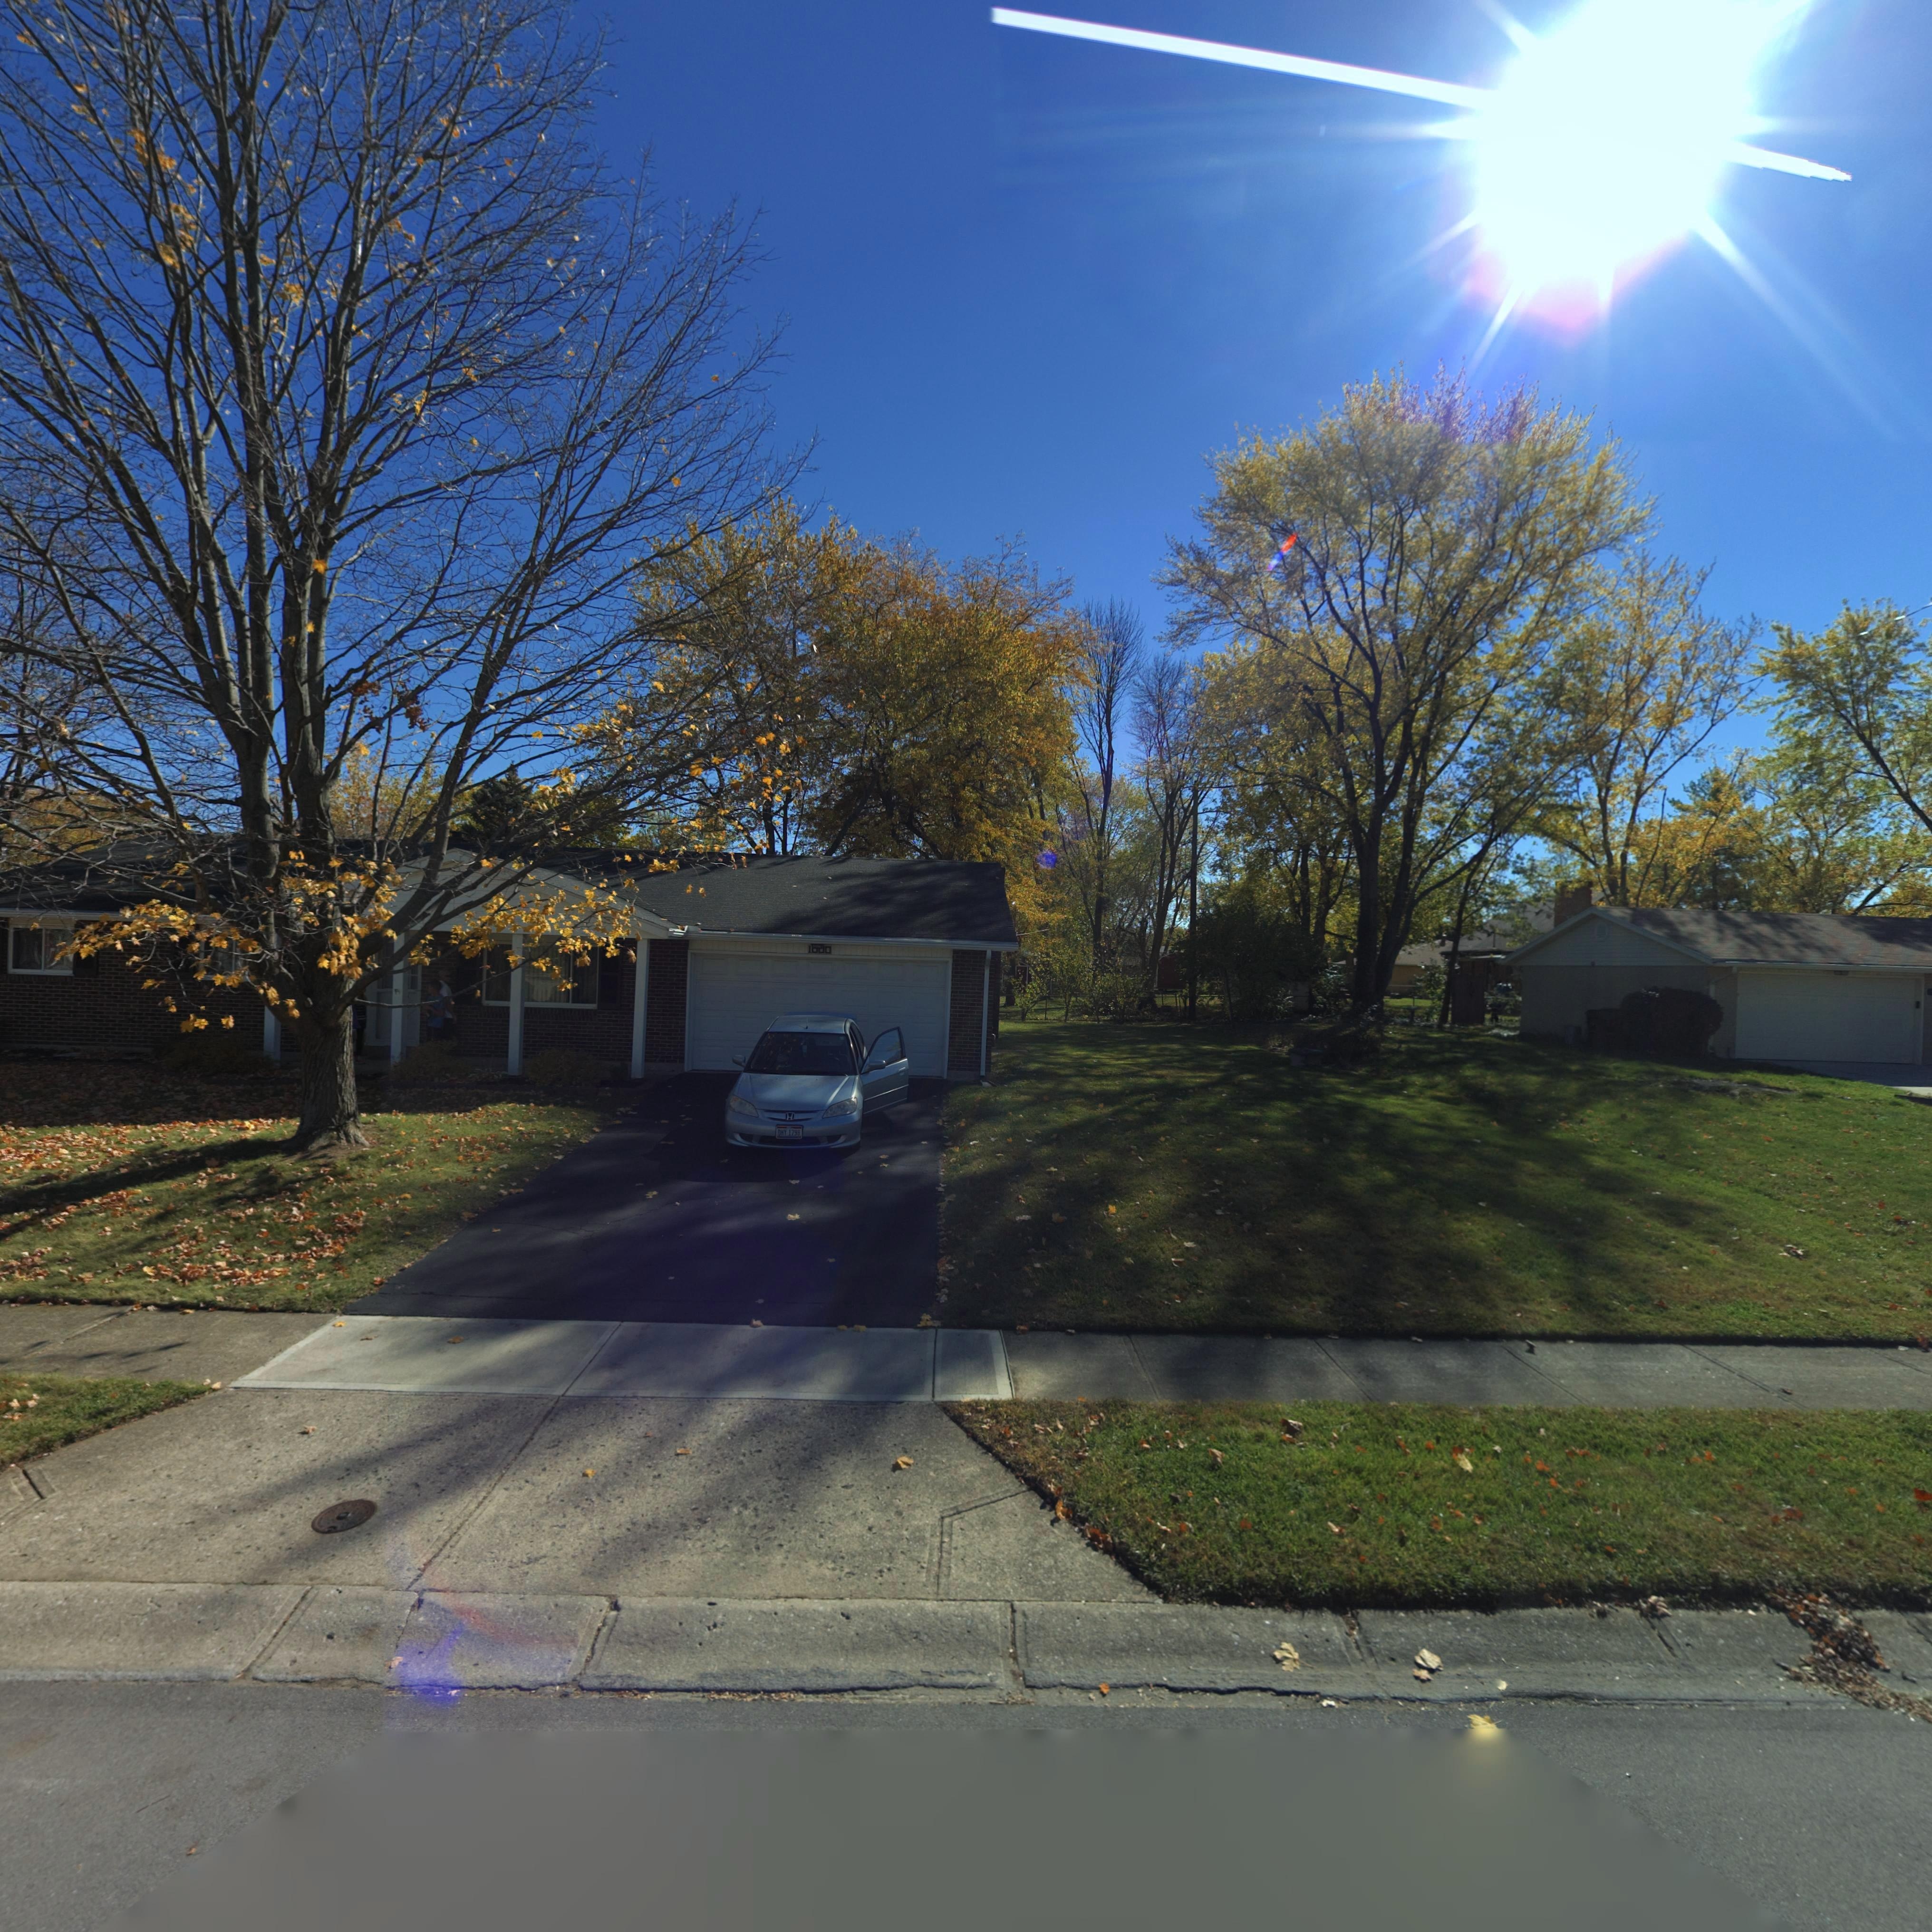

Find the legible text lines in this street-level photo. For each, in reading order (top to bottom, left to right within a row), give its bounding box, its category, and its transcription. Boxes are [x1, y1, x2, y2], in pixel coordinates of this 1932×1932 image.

[807, 945, 832, 954] StreetNumber: 1000